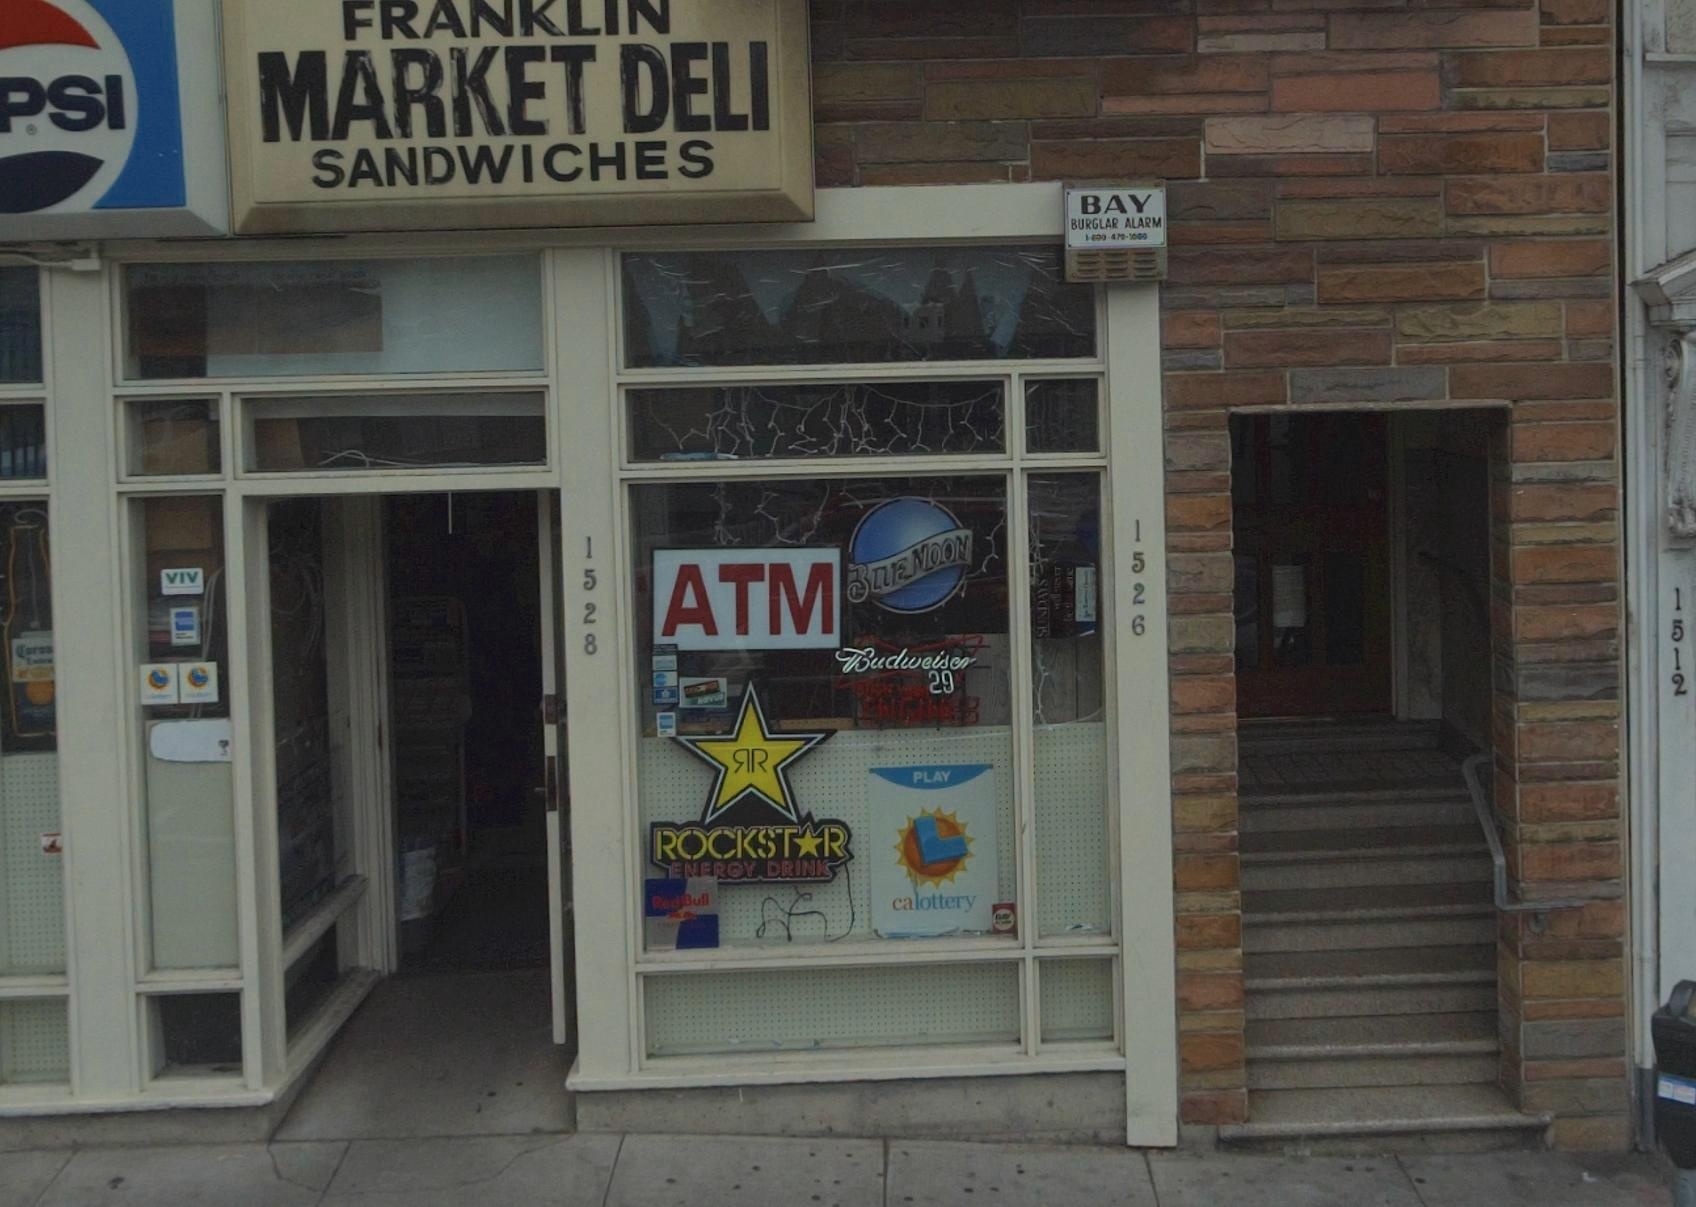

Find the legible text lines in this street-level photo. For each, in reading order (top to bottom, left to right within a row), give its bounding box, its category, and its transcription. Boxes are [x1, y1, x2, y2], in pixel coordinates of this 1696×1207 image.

[341, 0, 671, 42] BusinessName: FRANKLIN
[0, 73, 127, 134] None: PSI
[257, 39, 771, 145] BusinessName: MARKET DELI
[310, 139, 715, 190] BusinessName: SANDWICHES
[1080, 193, 1153, 216] None: BAY
[1069, 215, 1162, 232] None: BURGLAR ALARM
[161, 570, 201, 585] None: VIV
[844, 532, 970, 605] None: BLUE MOON
[1131, 517, 1147, 637] StreetNumber: 1526
[581, 533, 599, 657] StreetNumber: 1528
[659, 561, 834, 638] None: ATM
[1669, 585, 1687, 697] StreetNumber: 1512
[839, 646, 980, 673] None: Budweiser
[928, 669, 956, 696] None: 29
[860, 693, 964, 727] None: ENGINE
[731, 747, 769, 774] None: *R
[911, 769, 953, 785] None: PLAY
[655, 826, 845, 859] None: ROCKST*R
[670, 858, 833, 879] None: ENERGY DRINK
[650, 890, 711, 912] None: RedBull
[890, 890, 978, 913] None: calottery